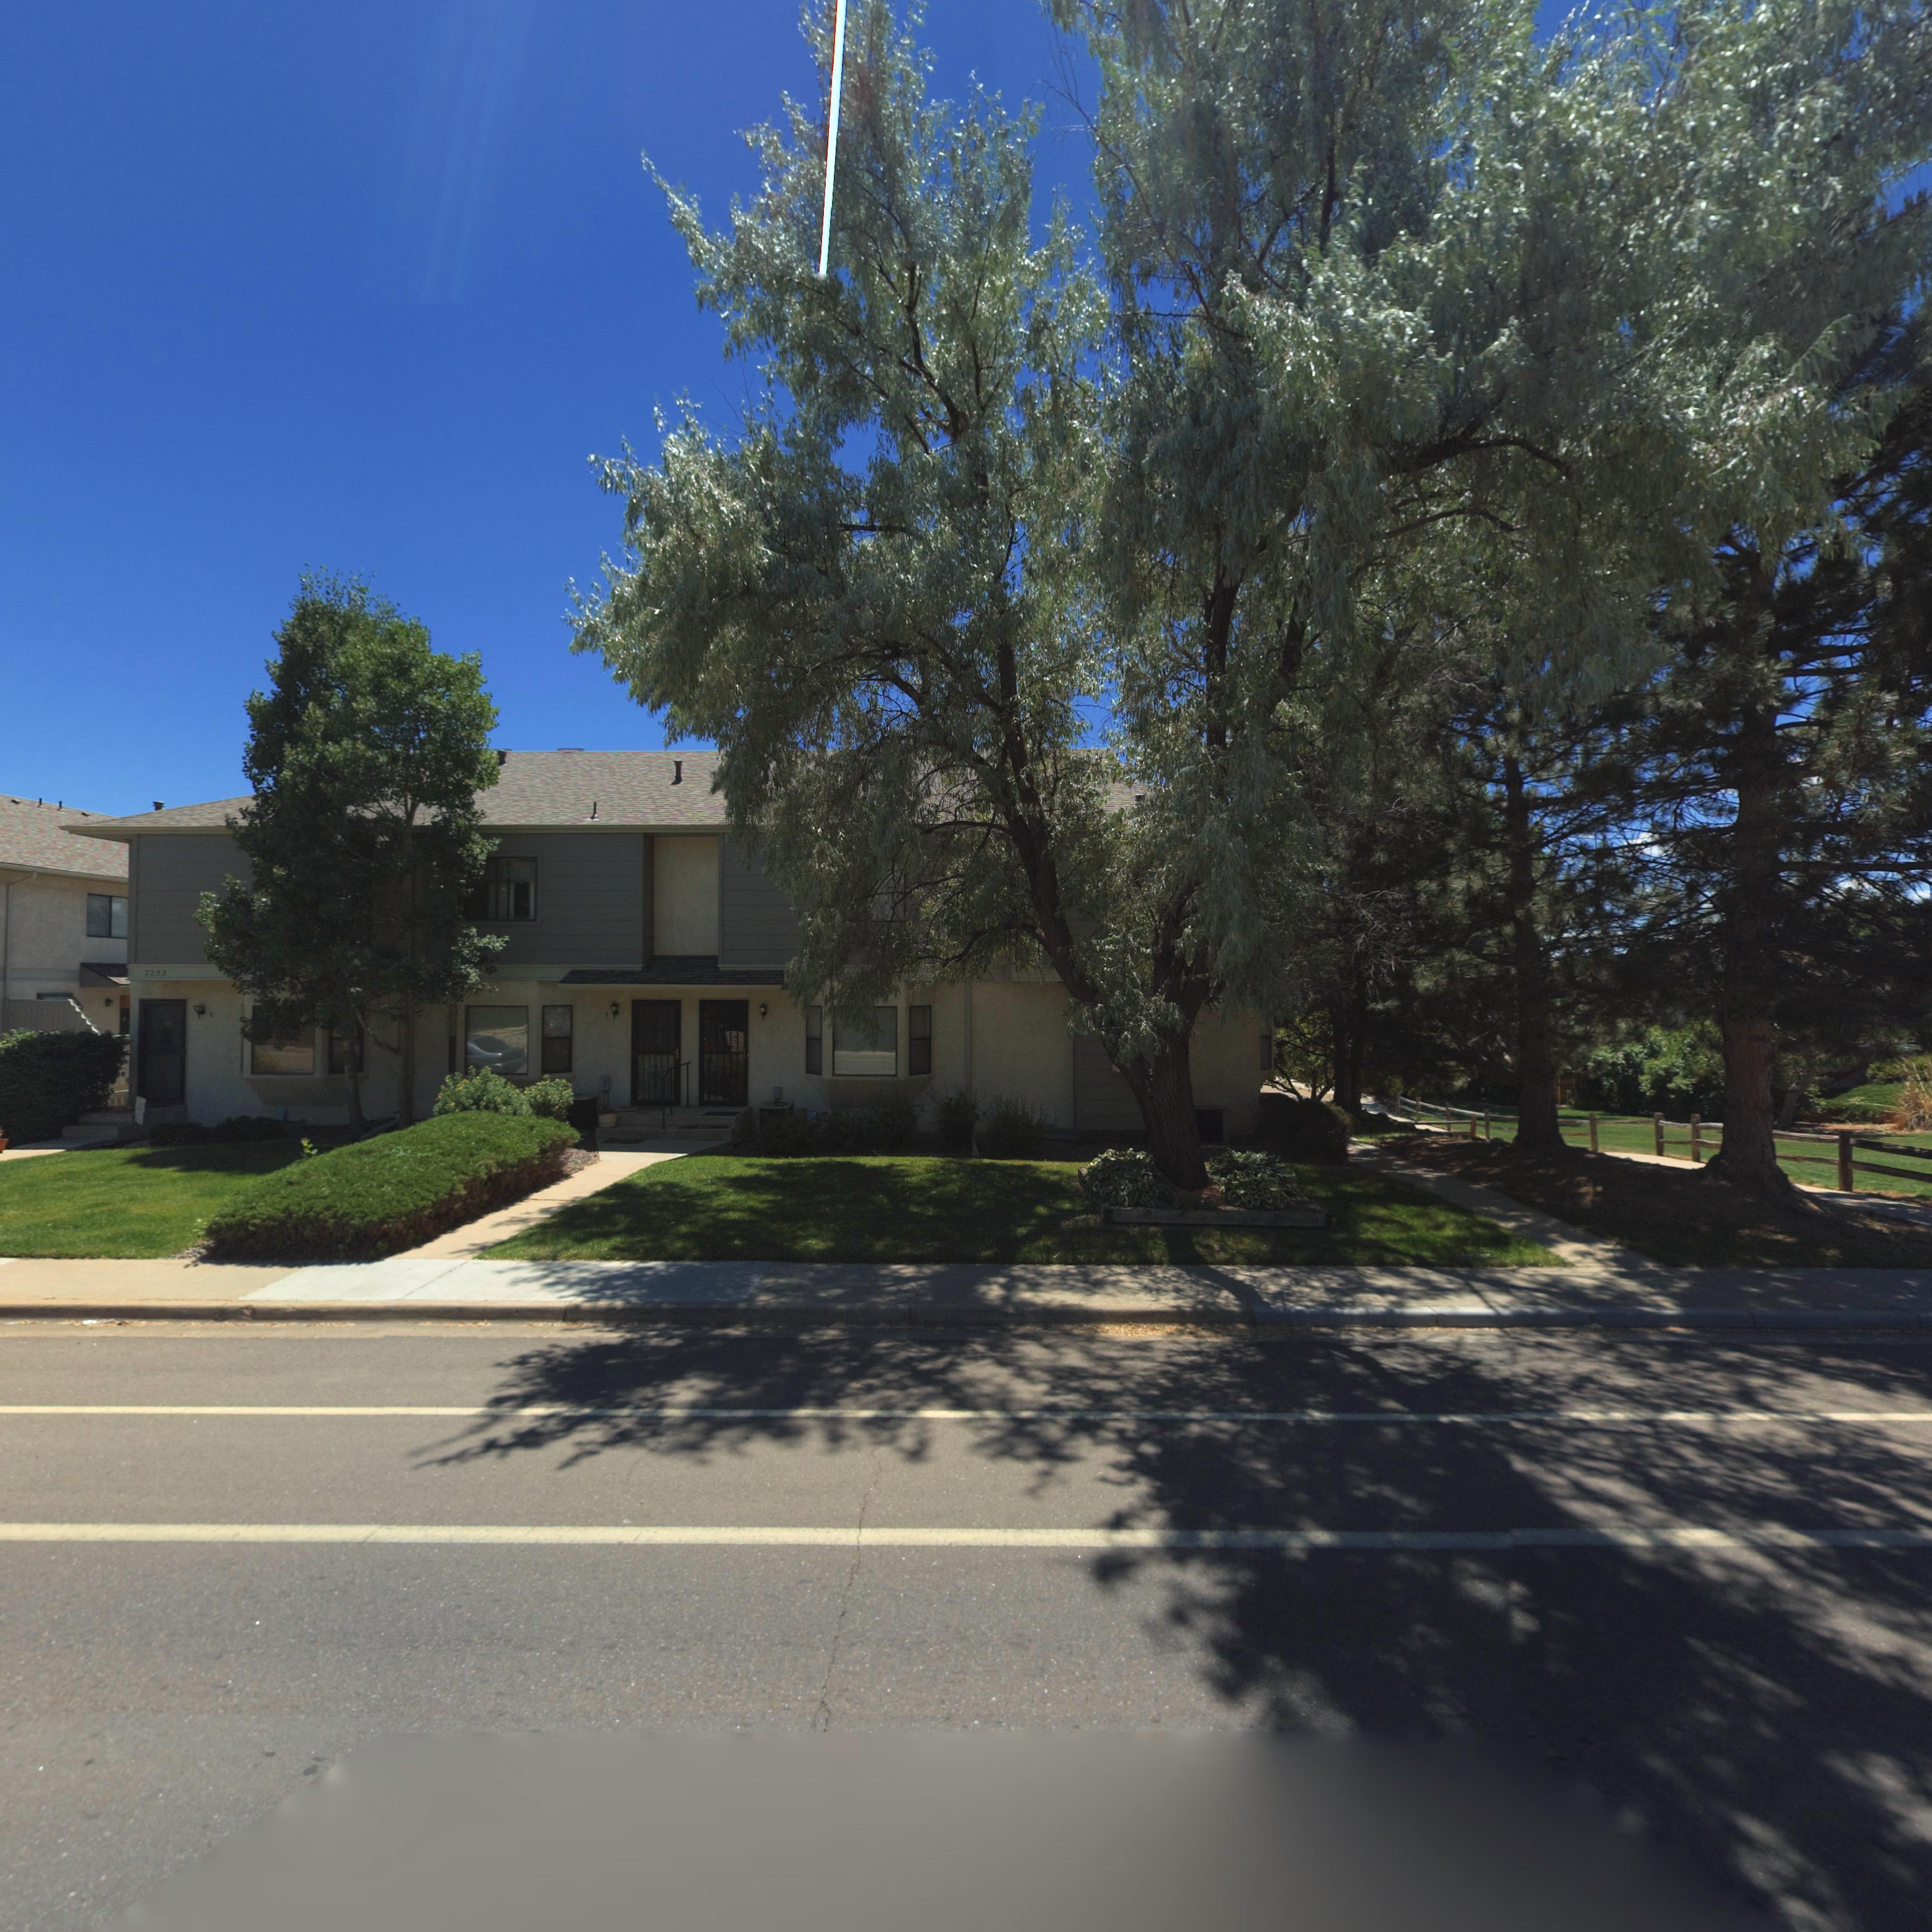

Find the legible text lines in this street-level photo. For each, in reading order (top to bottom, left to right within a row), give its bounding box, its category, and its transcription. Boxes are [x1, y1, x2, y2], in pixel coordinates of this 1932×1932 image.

[144, 969, 167, 976] StreetNumber: 2255